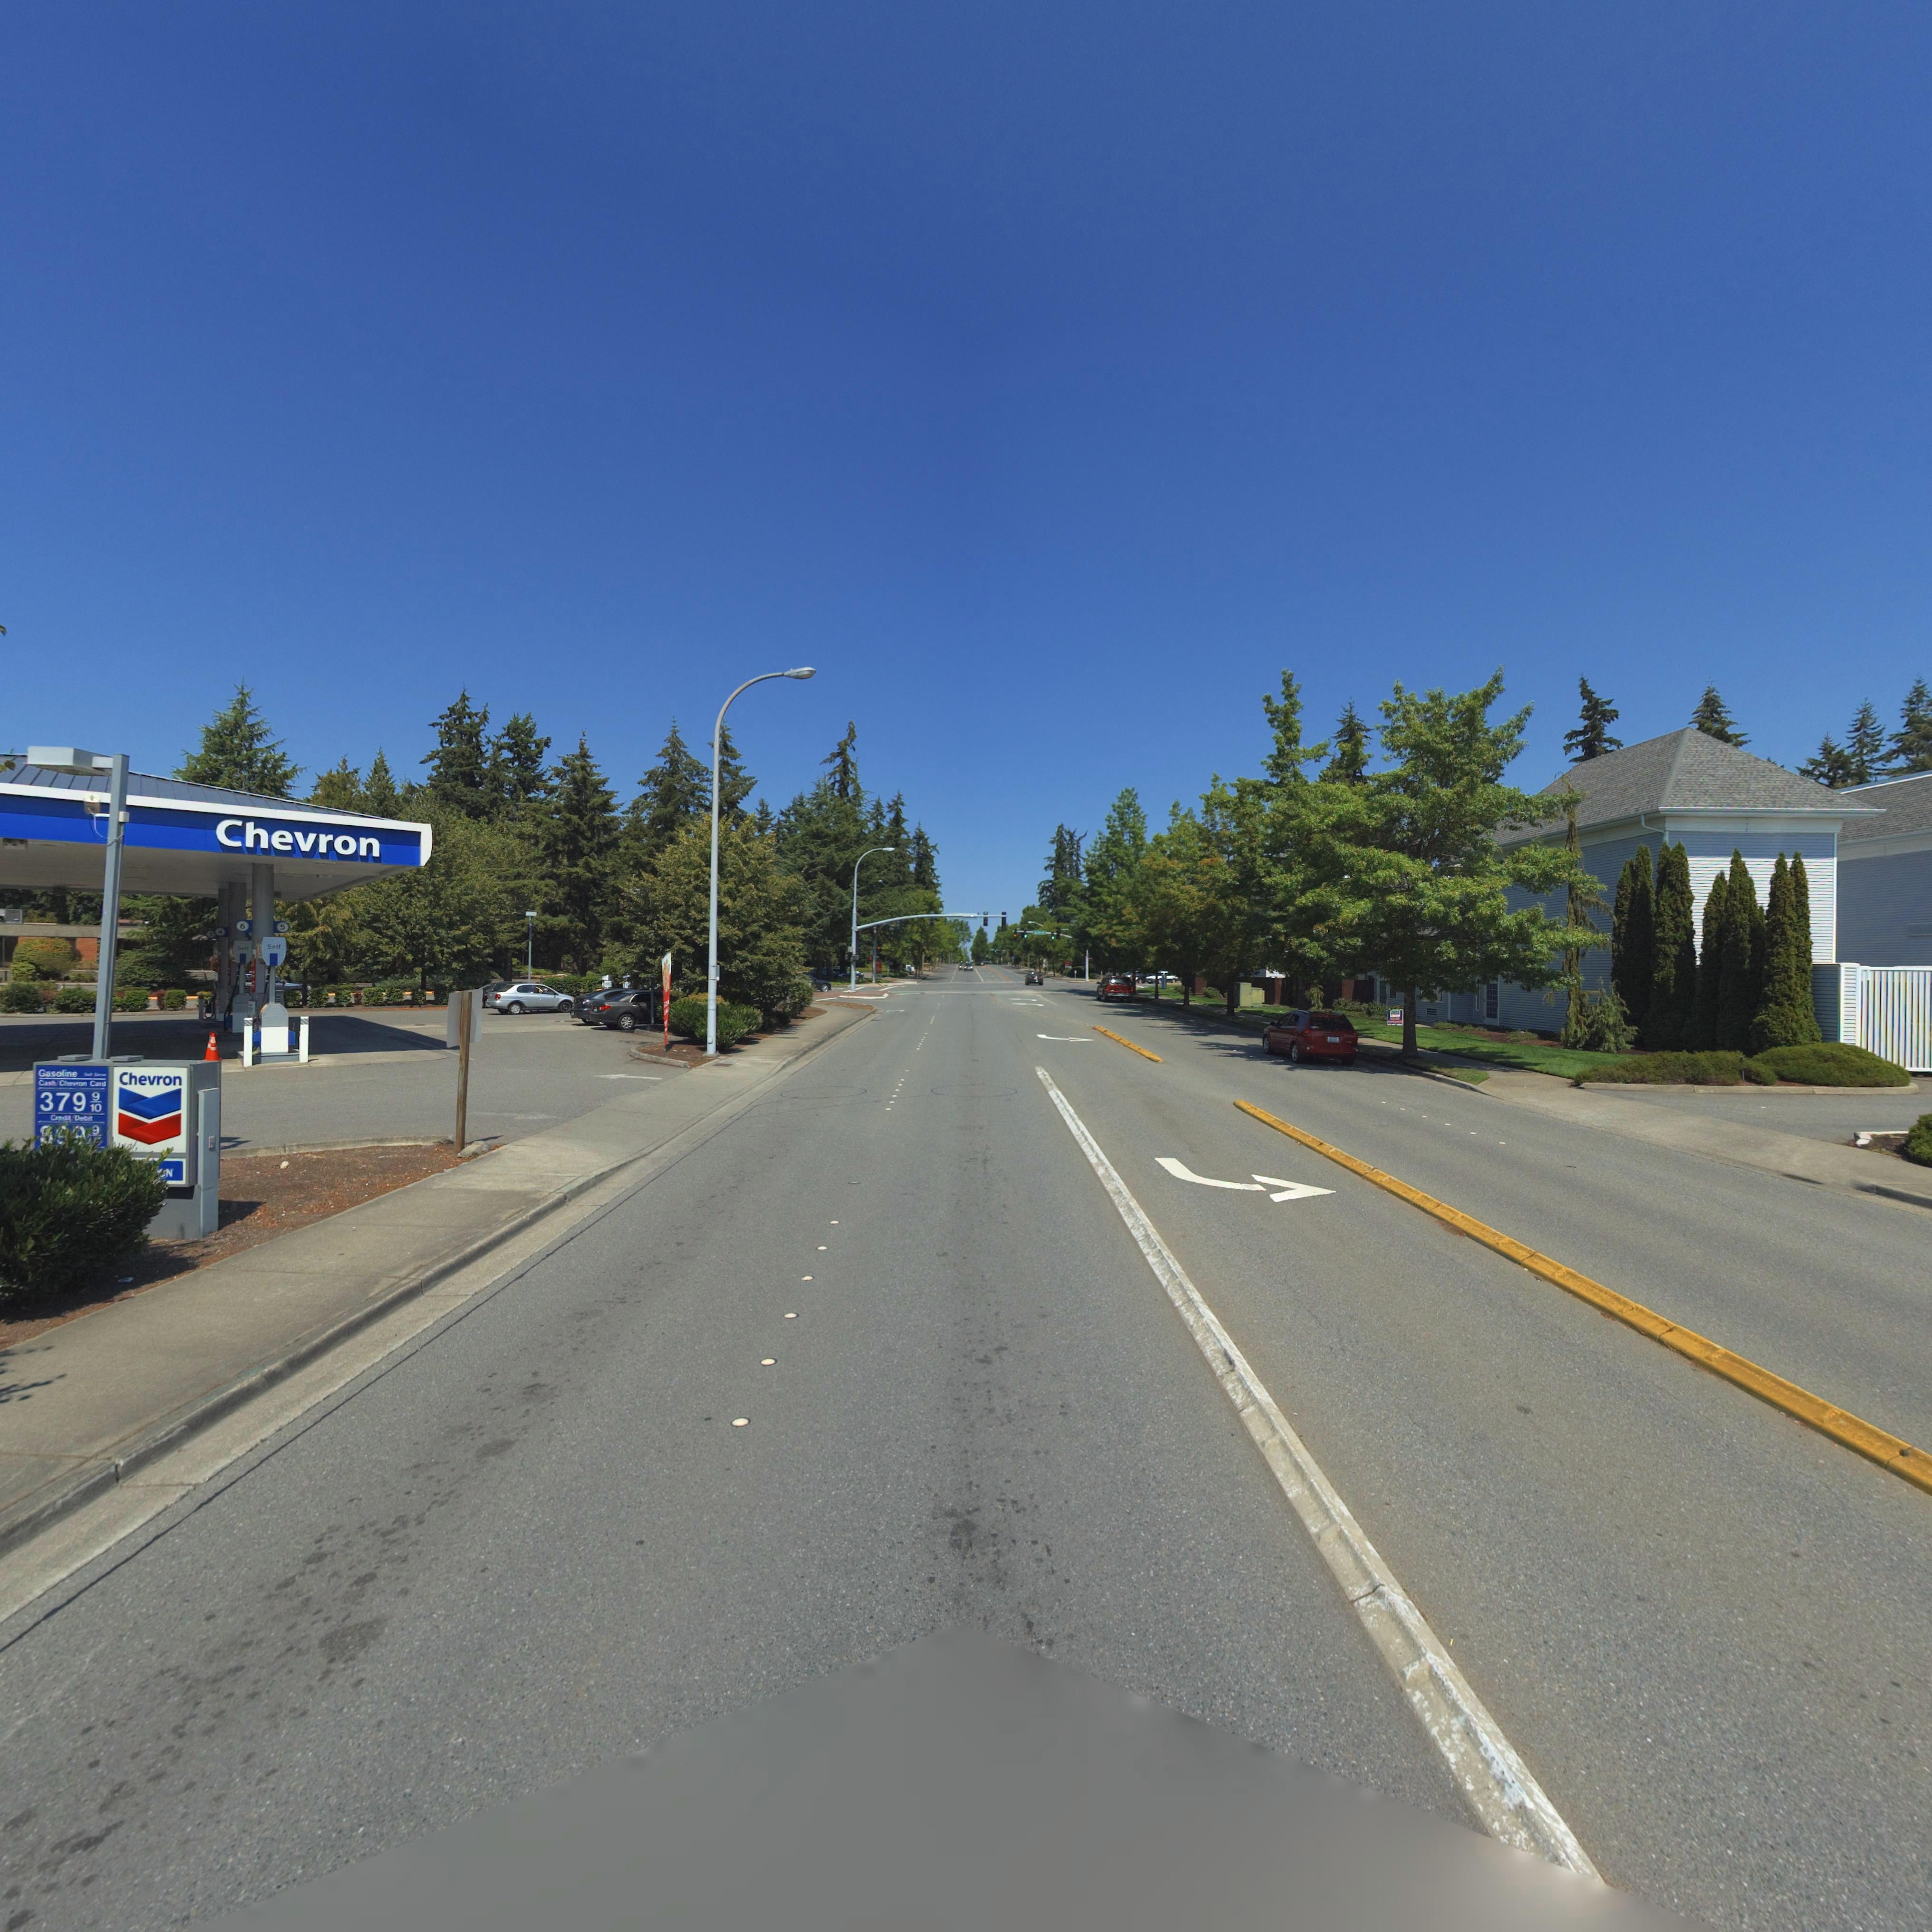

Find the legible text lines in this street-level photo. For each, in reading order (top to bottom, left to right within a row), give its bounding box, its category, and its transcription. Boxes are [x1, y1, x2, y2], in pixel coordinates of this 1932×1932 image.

[213, 818, 380, 857] BusinessName: Chevron
[119, 1071, 182, 1085] BusinessName: Chevron